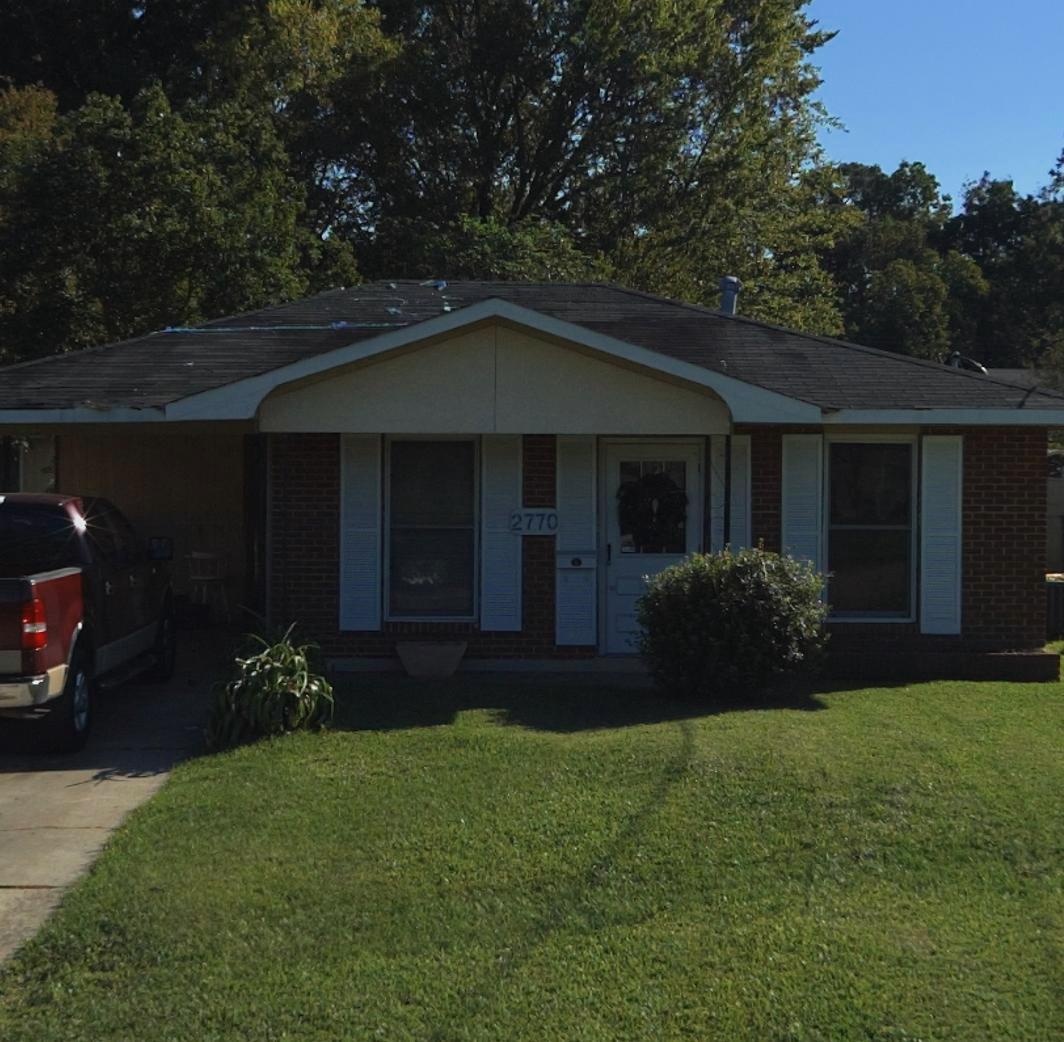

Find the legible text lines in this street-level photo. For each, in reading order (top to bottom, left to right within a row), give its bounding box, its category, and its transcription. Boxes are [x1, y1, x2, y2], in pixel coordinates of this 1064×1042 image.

[510, 511, 560, 532] StreetNumber: 2770